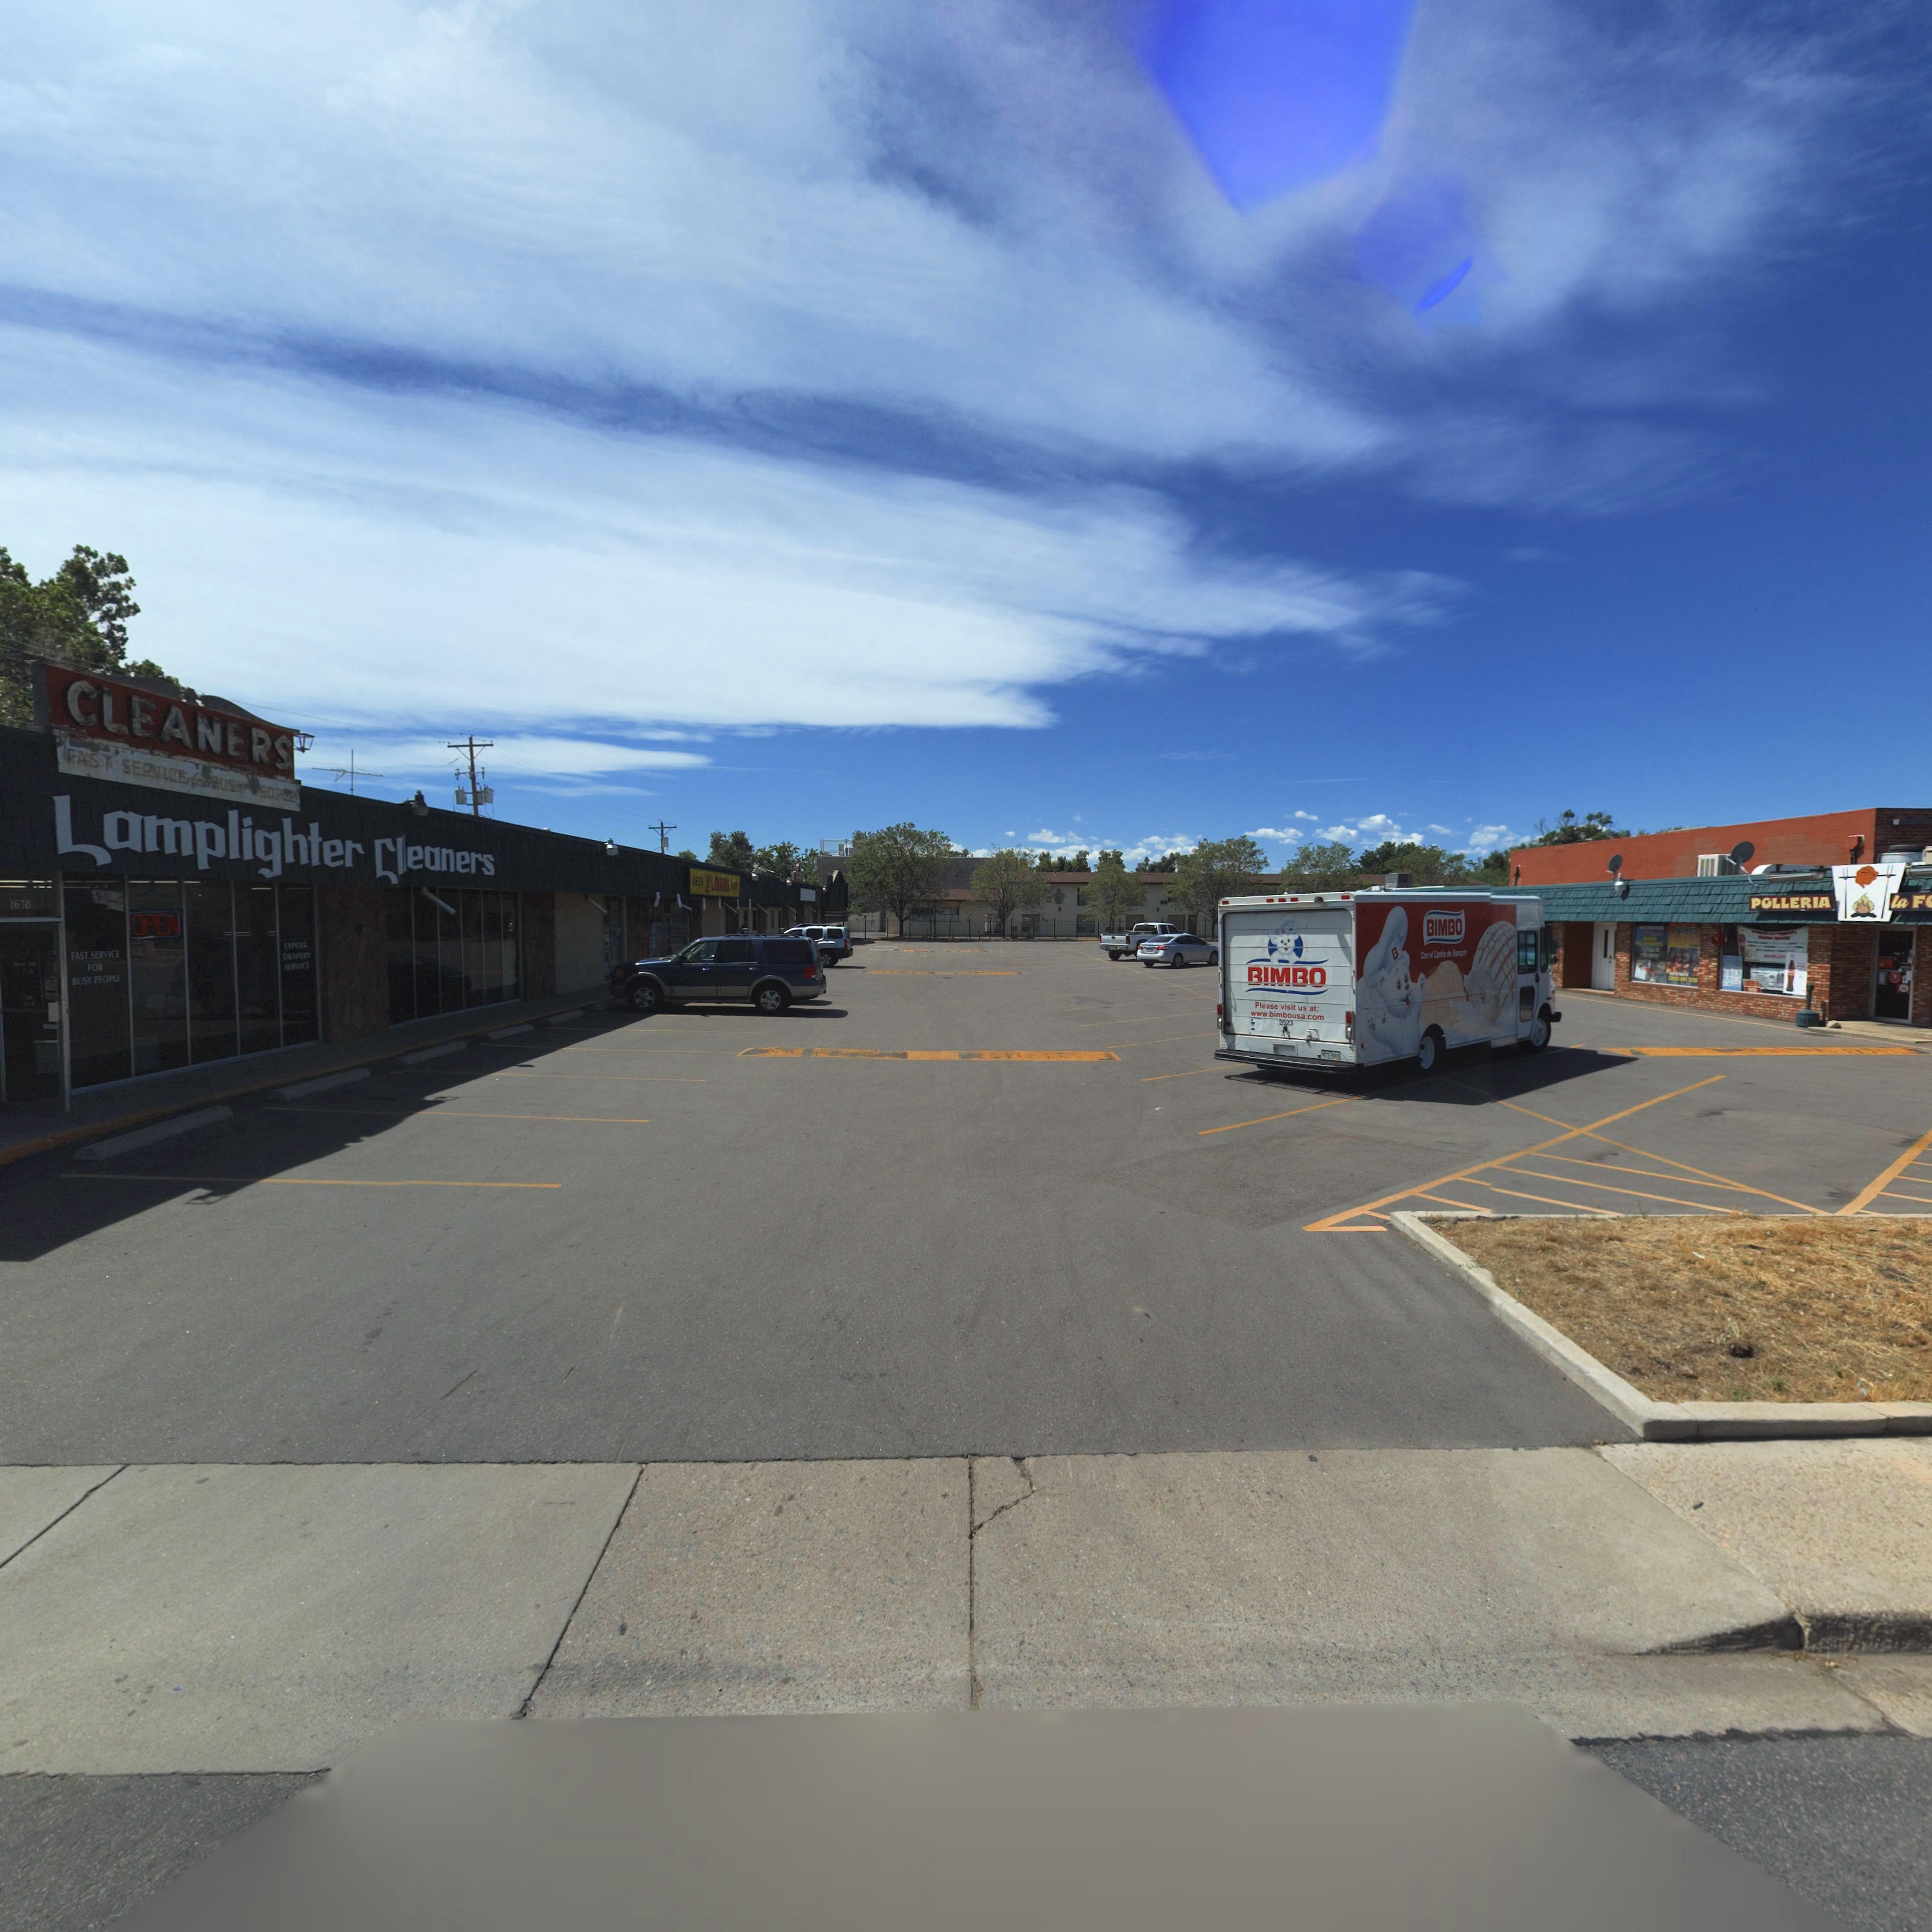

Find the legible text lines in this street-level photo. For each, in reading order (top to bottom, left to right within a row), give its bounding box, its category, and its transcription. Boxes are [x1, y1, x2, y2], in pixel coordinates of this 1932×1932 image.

[50, 793, 496, 886] BusinessName: Lamplighter Cleaners
[705, 874, 730, 892] BusinessName: 7 LIQUORS
[10, 899, 32, 909] StreetNumber: 1678
[1749, 894, 1926, 910] BusinessName: POLLERIA la F
[670, 917, 684, 924] StreetNumber: 1658